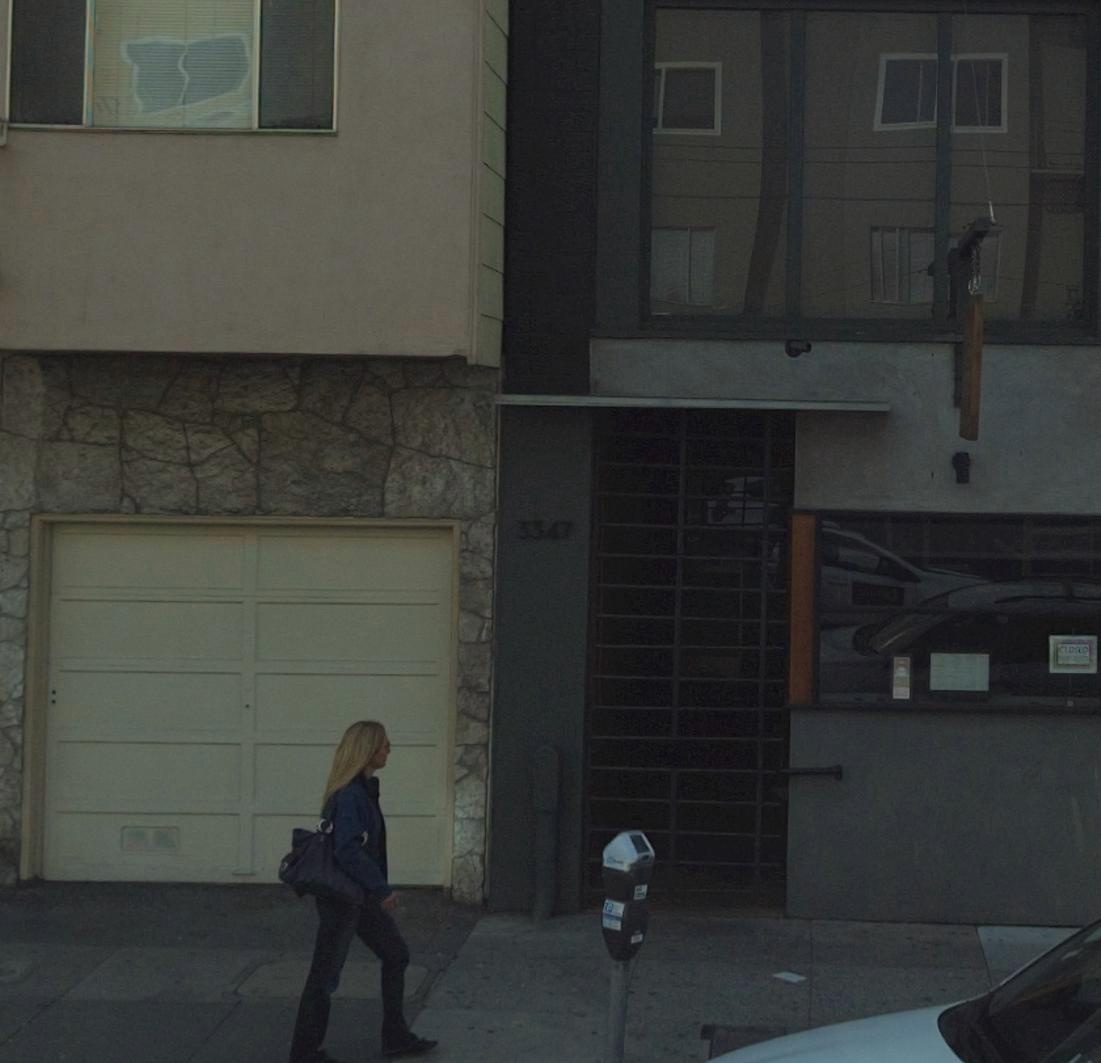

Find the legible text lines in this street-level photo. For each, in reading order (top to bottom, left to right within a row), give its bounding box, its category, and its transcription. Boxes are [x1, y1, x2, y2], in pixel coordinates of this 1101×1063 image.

[512, 517, 577, 544] StreetNumber: 3347
[1066, 644, 1078, 656] None: O